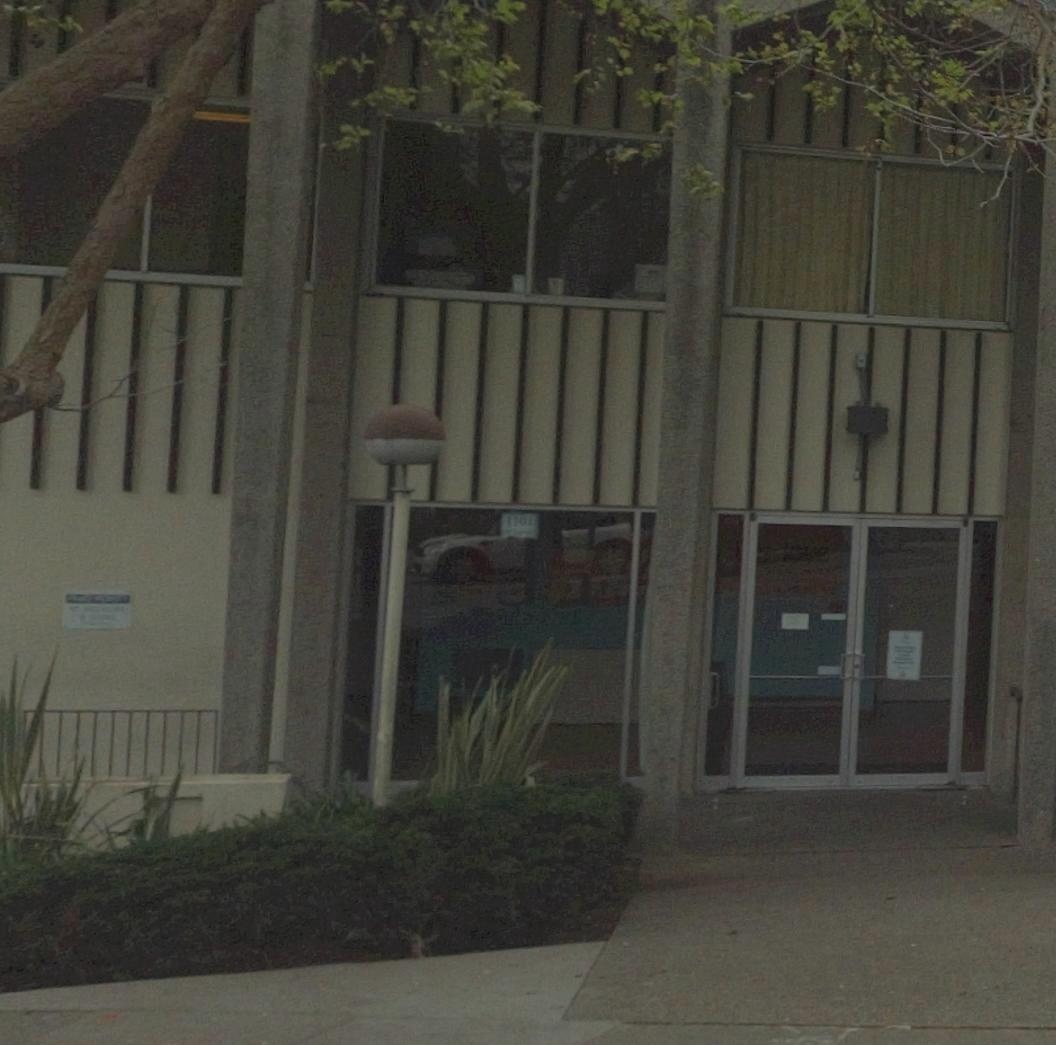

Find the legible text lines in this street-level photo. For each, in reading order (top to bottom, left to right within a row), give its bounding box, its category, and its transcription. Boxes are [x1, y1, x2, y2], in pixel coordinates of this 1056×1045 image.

[505, 514, 533, 530] StreetNumber: 1101